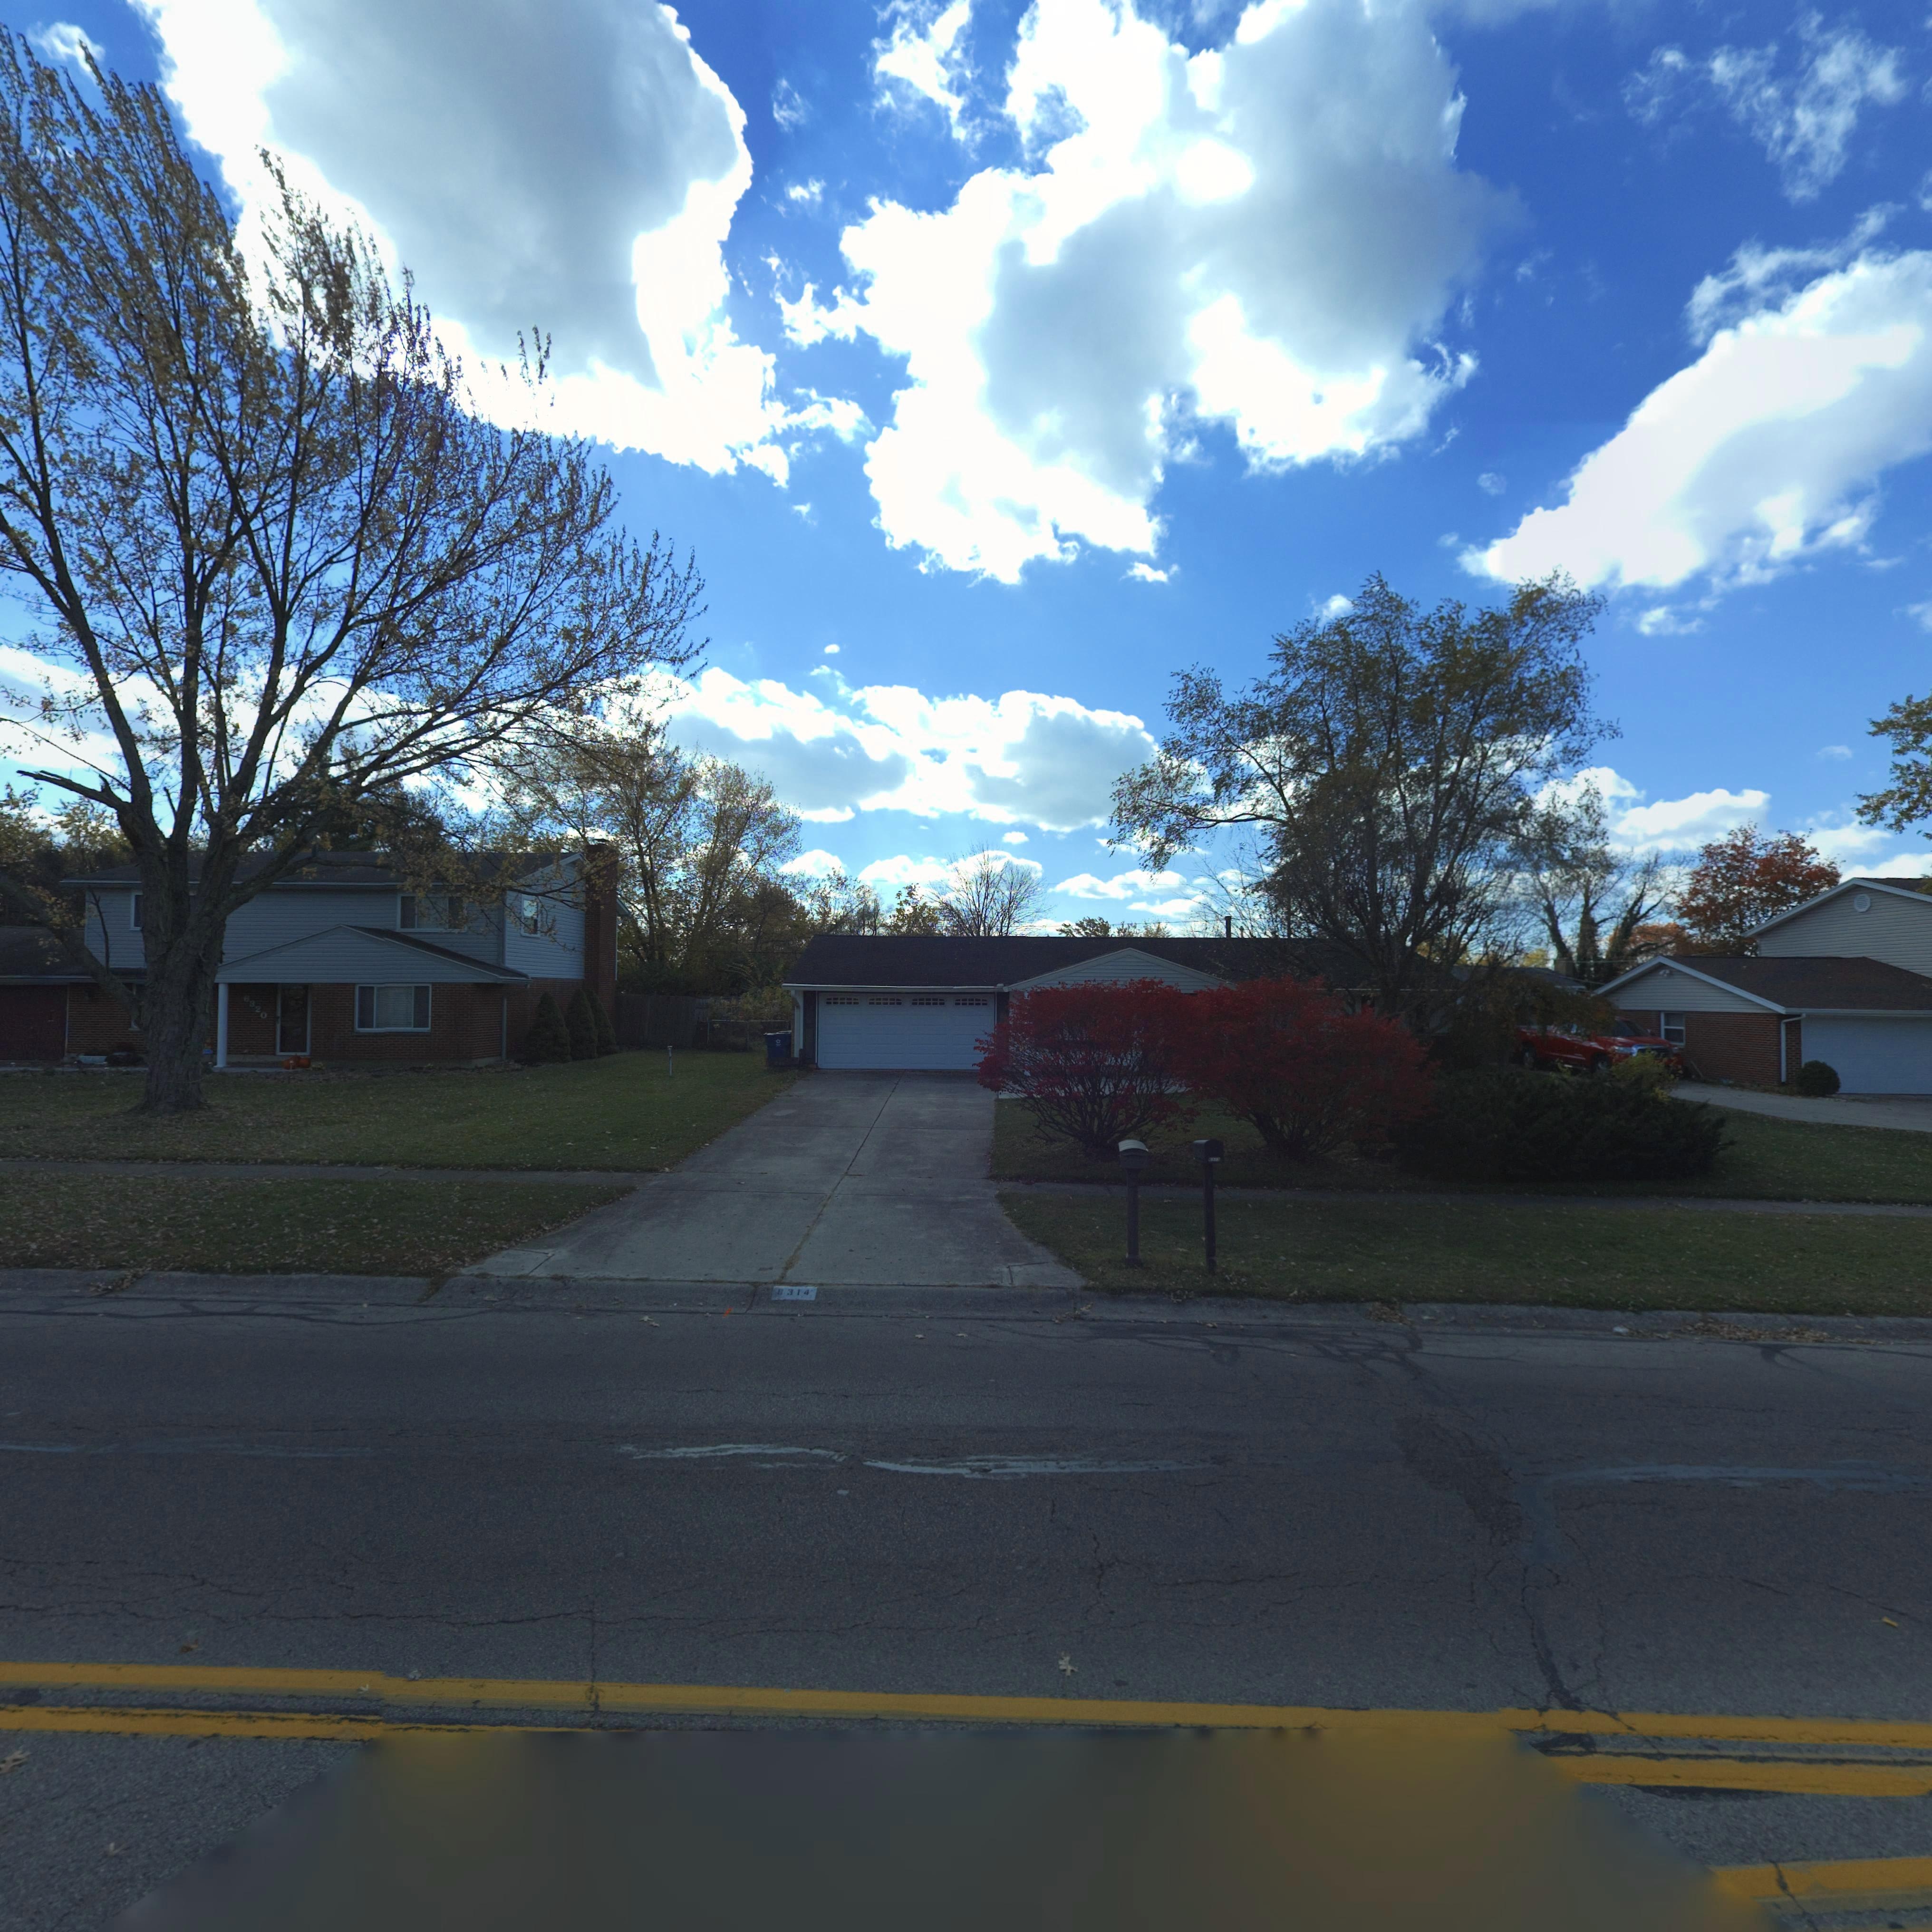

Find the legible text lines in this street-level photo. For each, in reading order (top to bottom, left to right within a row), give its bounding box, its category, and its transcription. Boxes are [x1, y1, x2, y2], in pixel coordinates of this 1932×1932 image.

[243, 994, 268, 1020] StreetNumber: 6320
[1208, 1157, 1212, 1161] StreetNumber: 6
[776, 1288, 810, 1296] StreetNumber: 6314